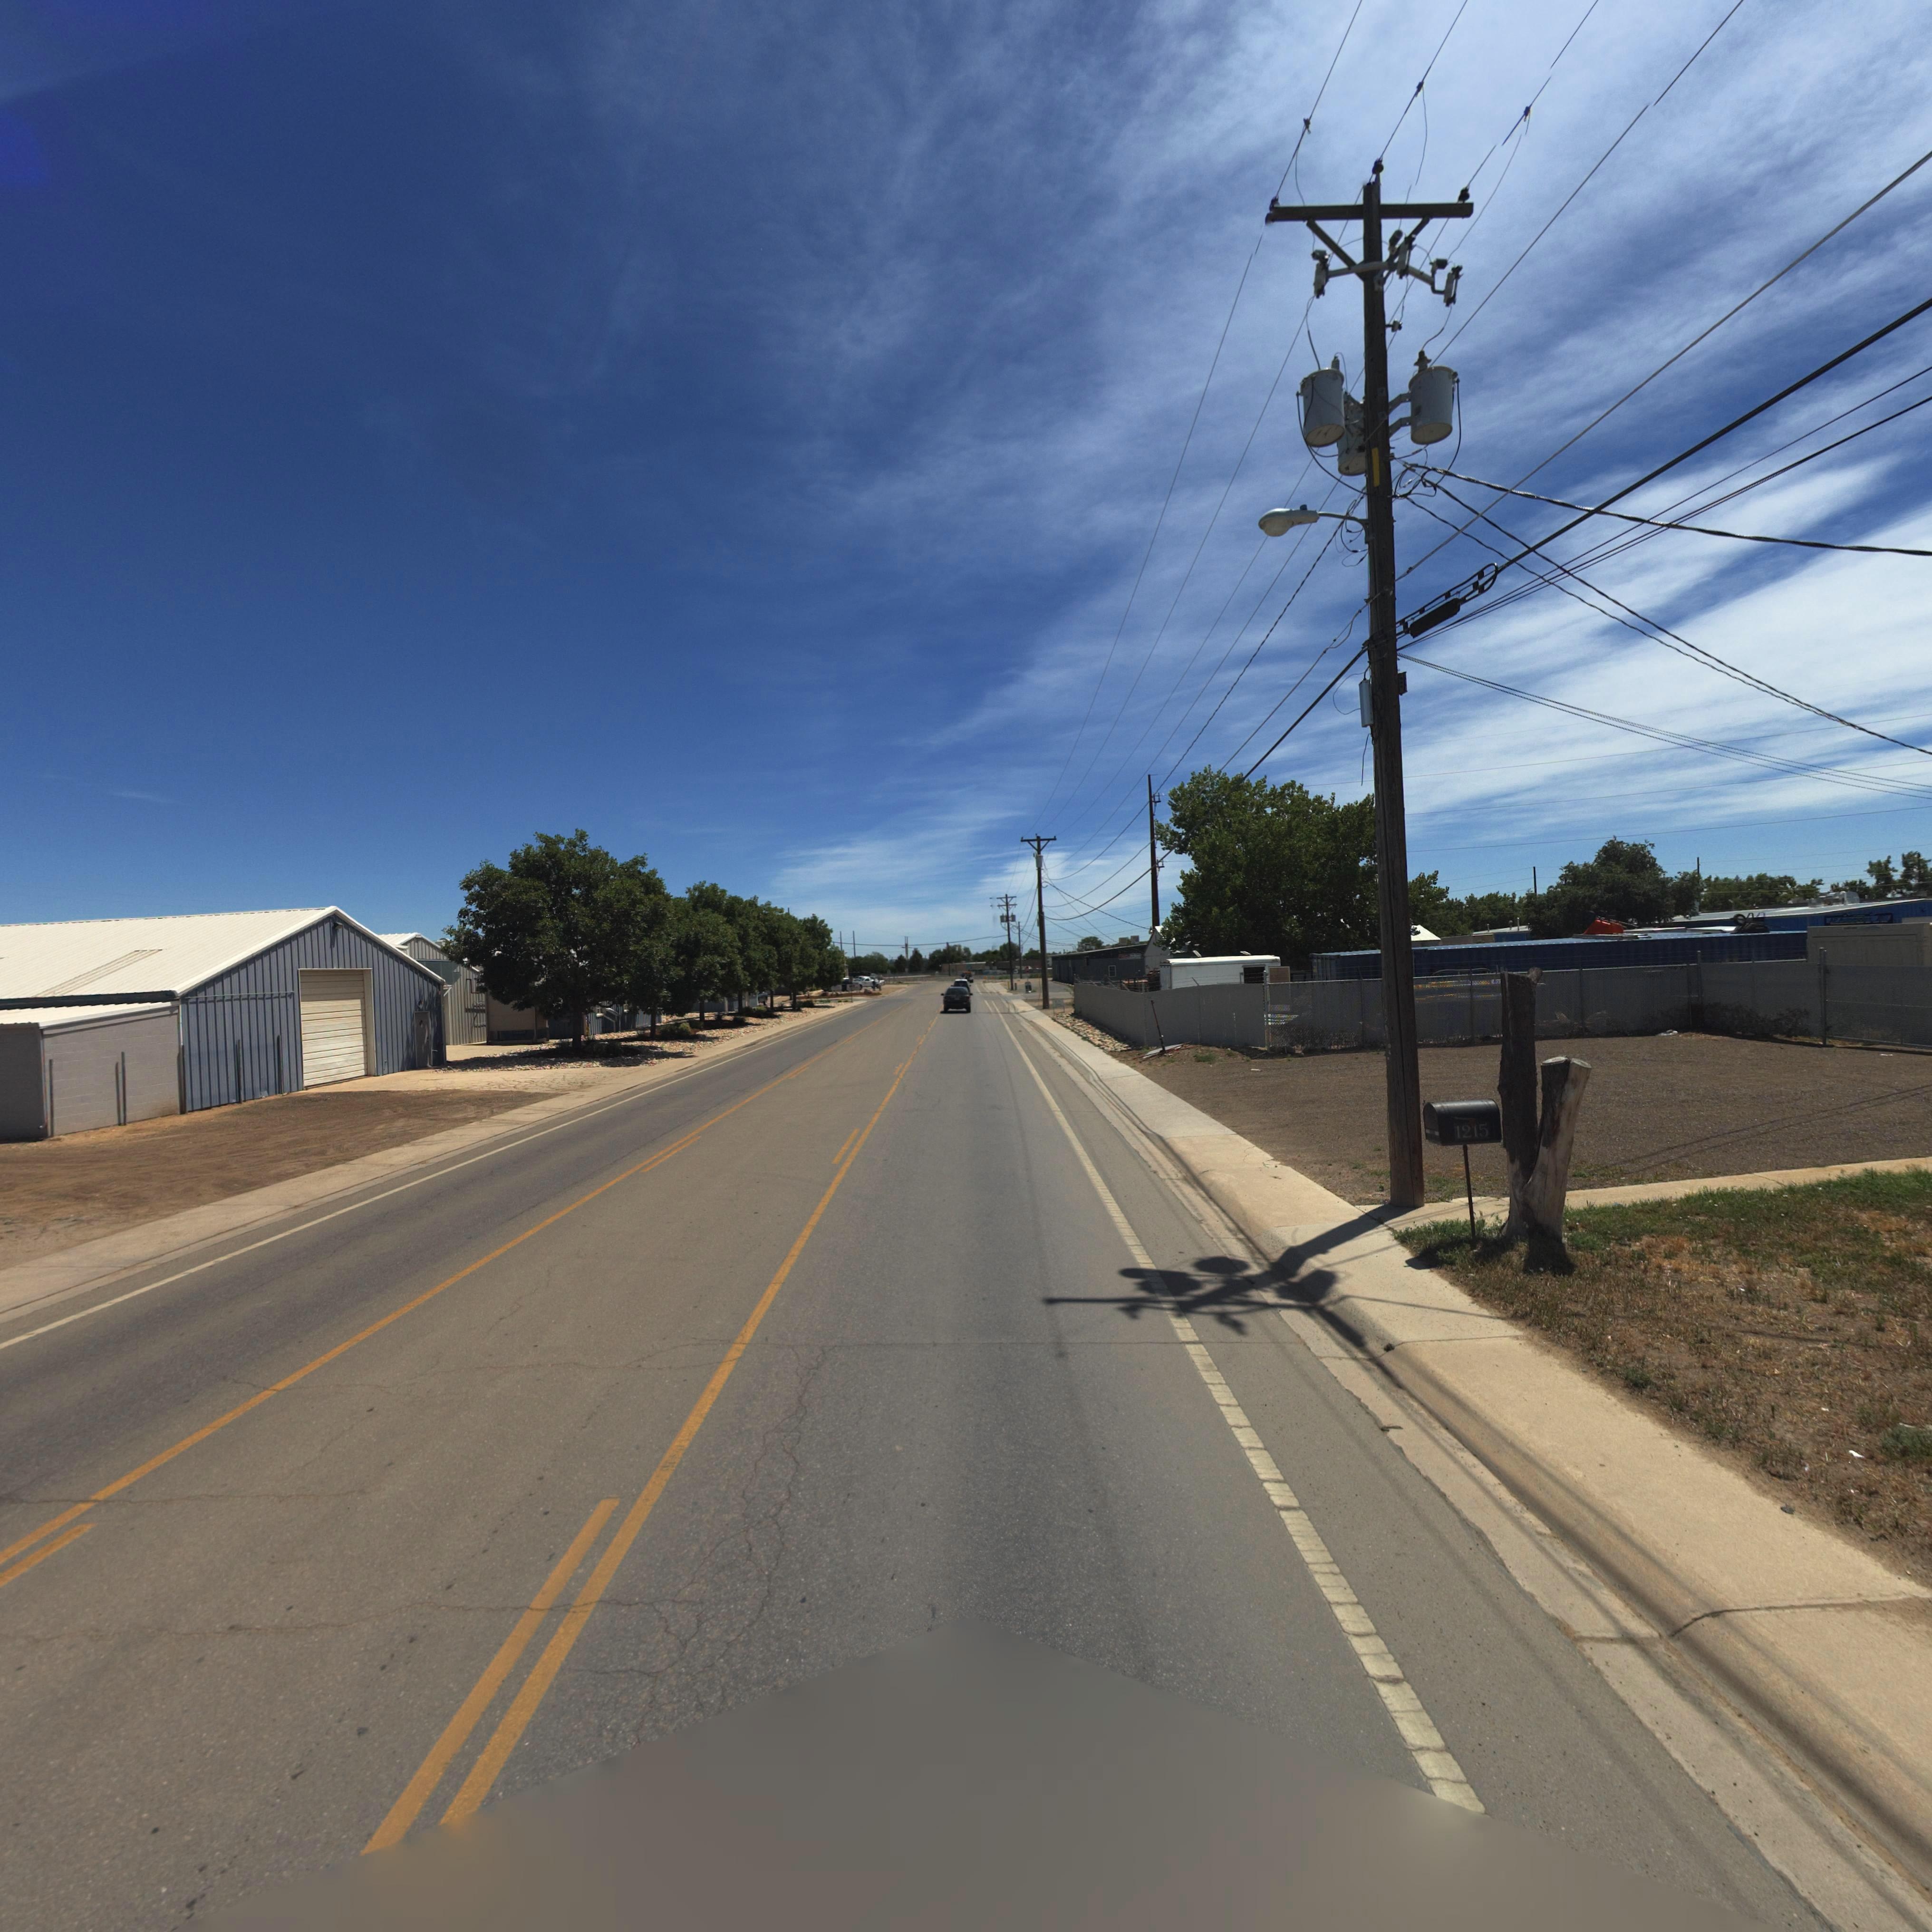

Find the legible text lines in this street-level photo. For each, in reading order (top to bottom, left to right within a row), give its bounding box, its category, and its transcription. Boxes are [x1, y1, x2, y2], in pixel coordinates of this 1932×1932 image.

[1455, 1123, 1489, 1139] StreetNumber: 1215